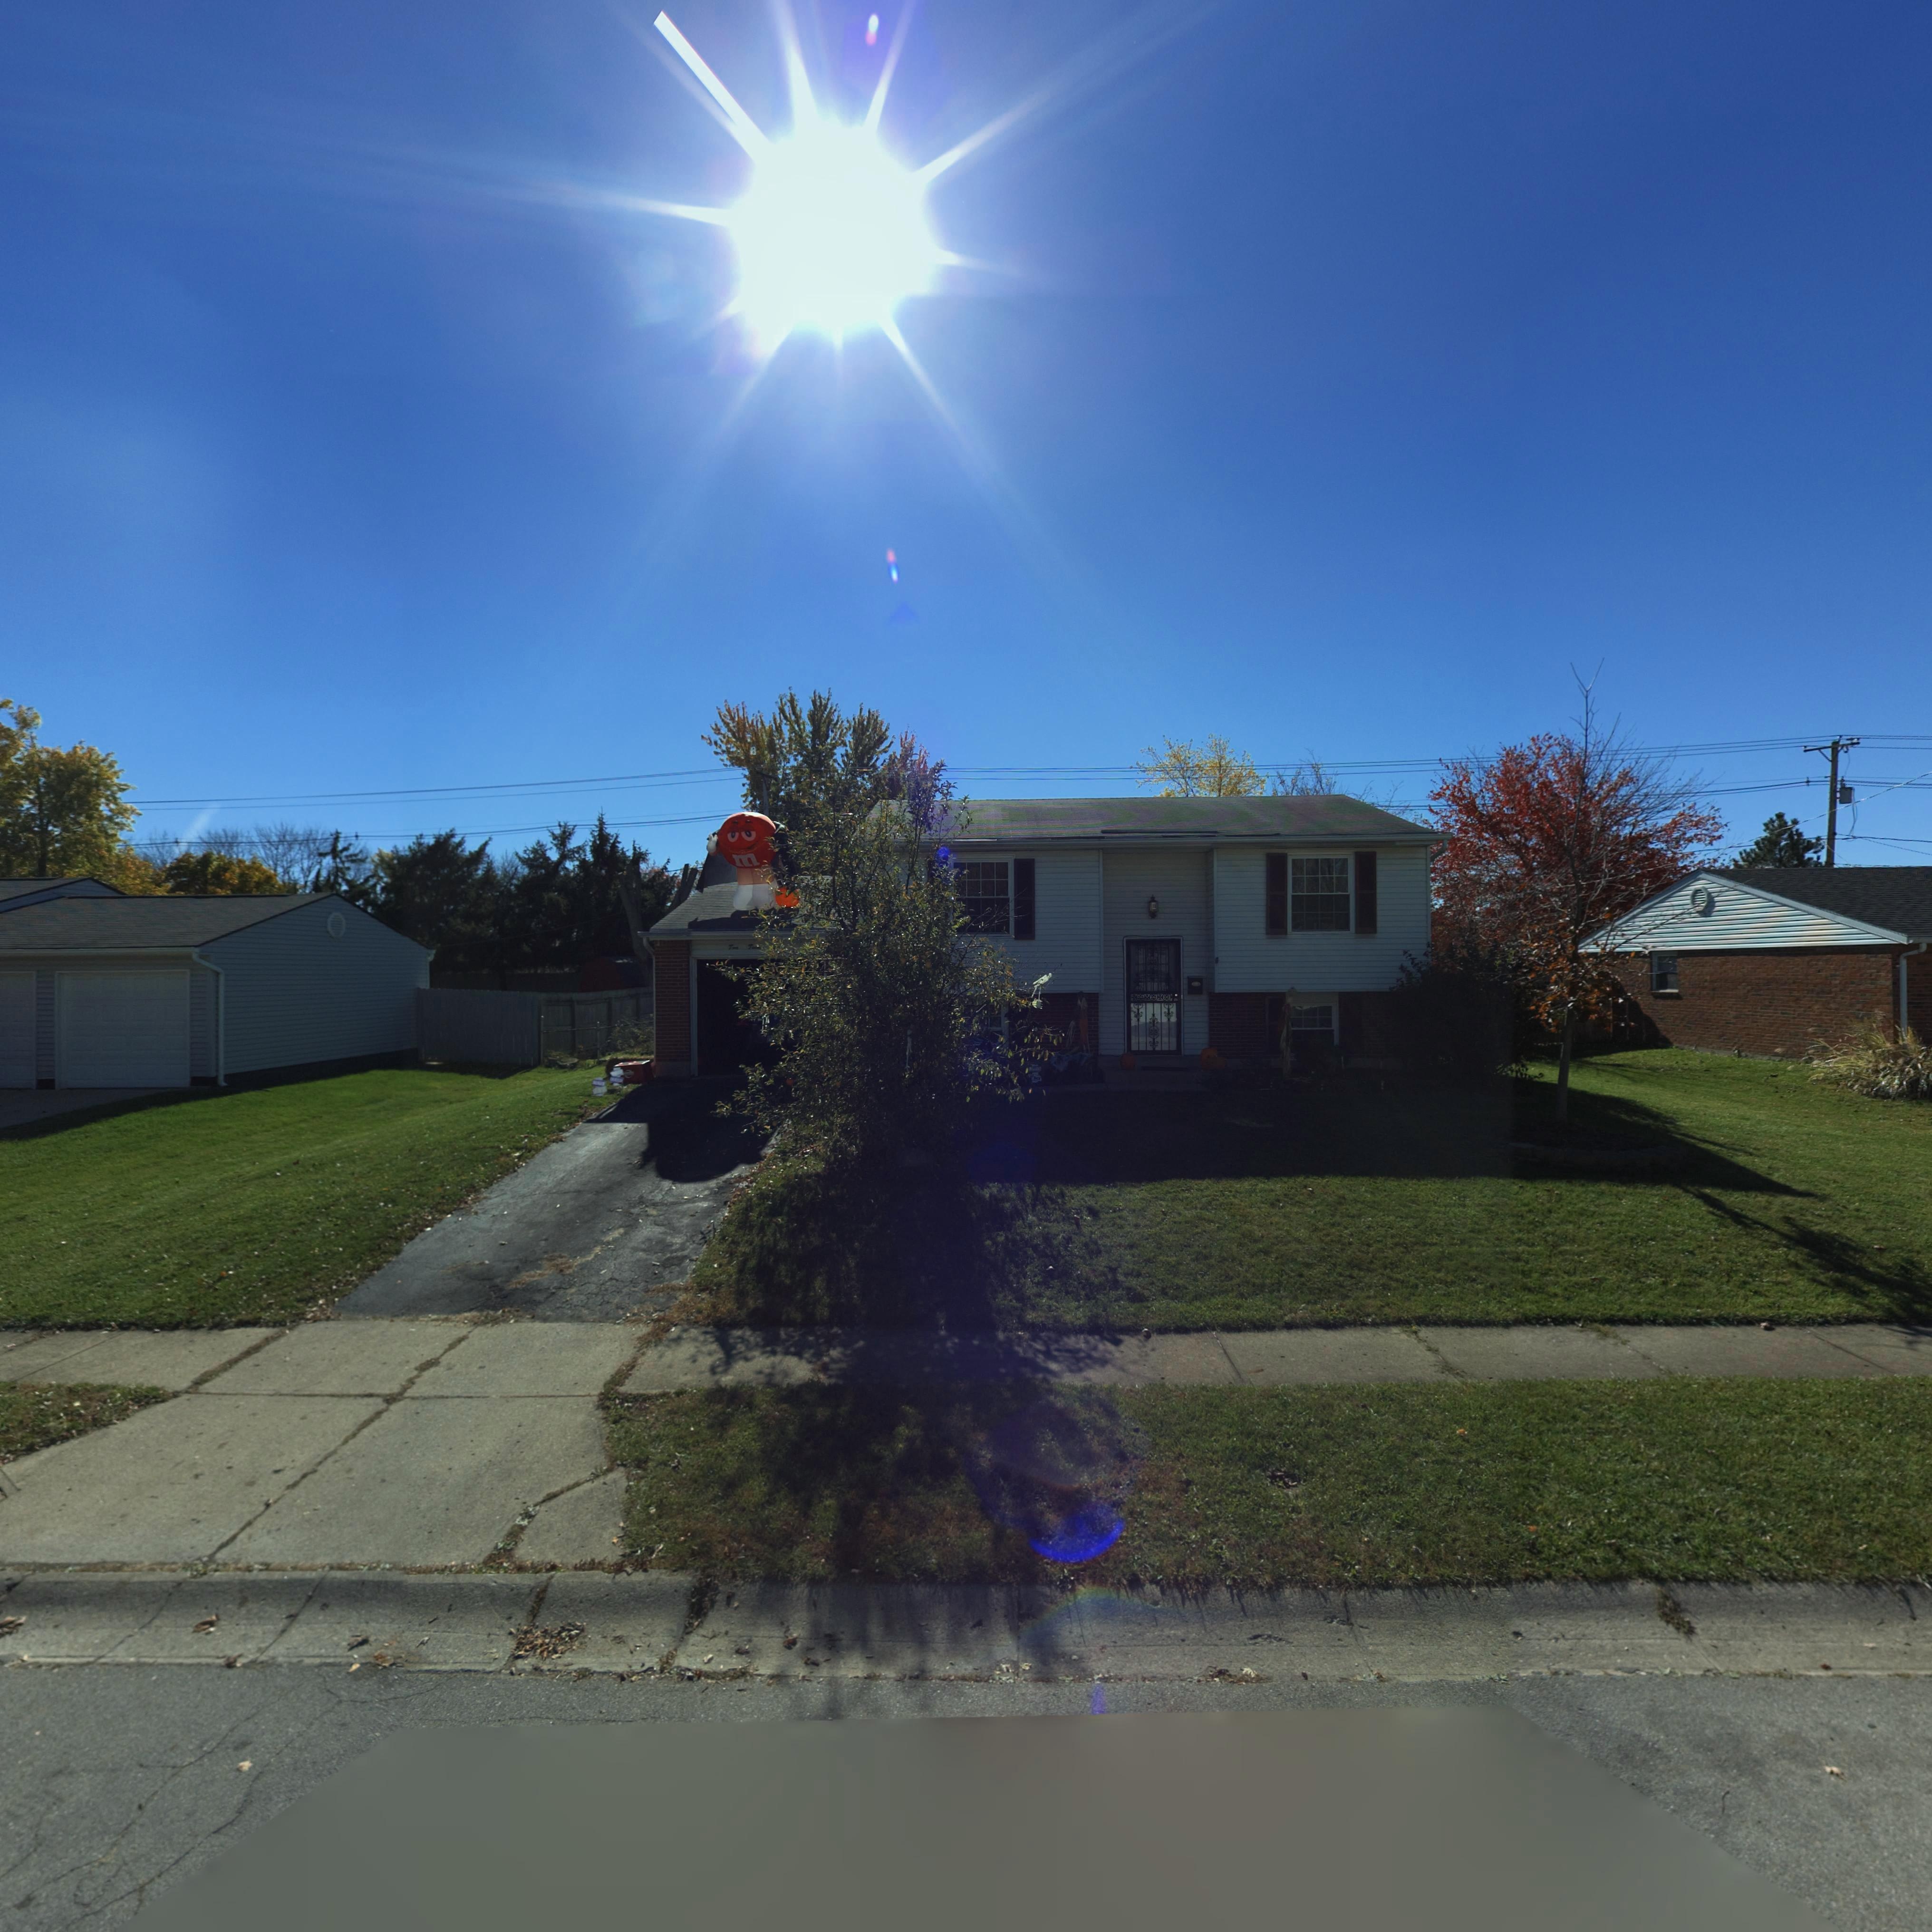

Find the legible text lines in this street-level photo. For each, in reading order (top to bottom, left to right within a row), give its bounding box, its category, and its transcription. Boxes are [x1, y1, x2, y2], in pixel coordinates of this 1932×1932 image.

[728, 944, 734, 951] StreetNumber: T
[747, 944, 753, 950] StreetNumber: T